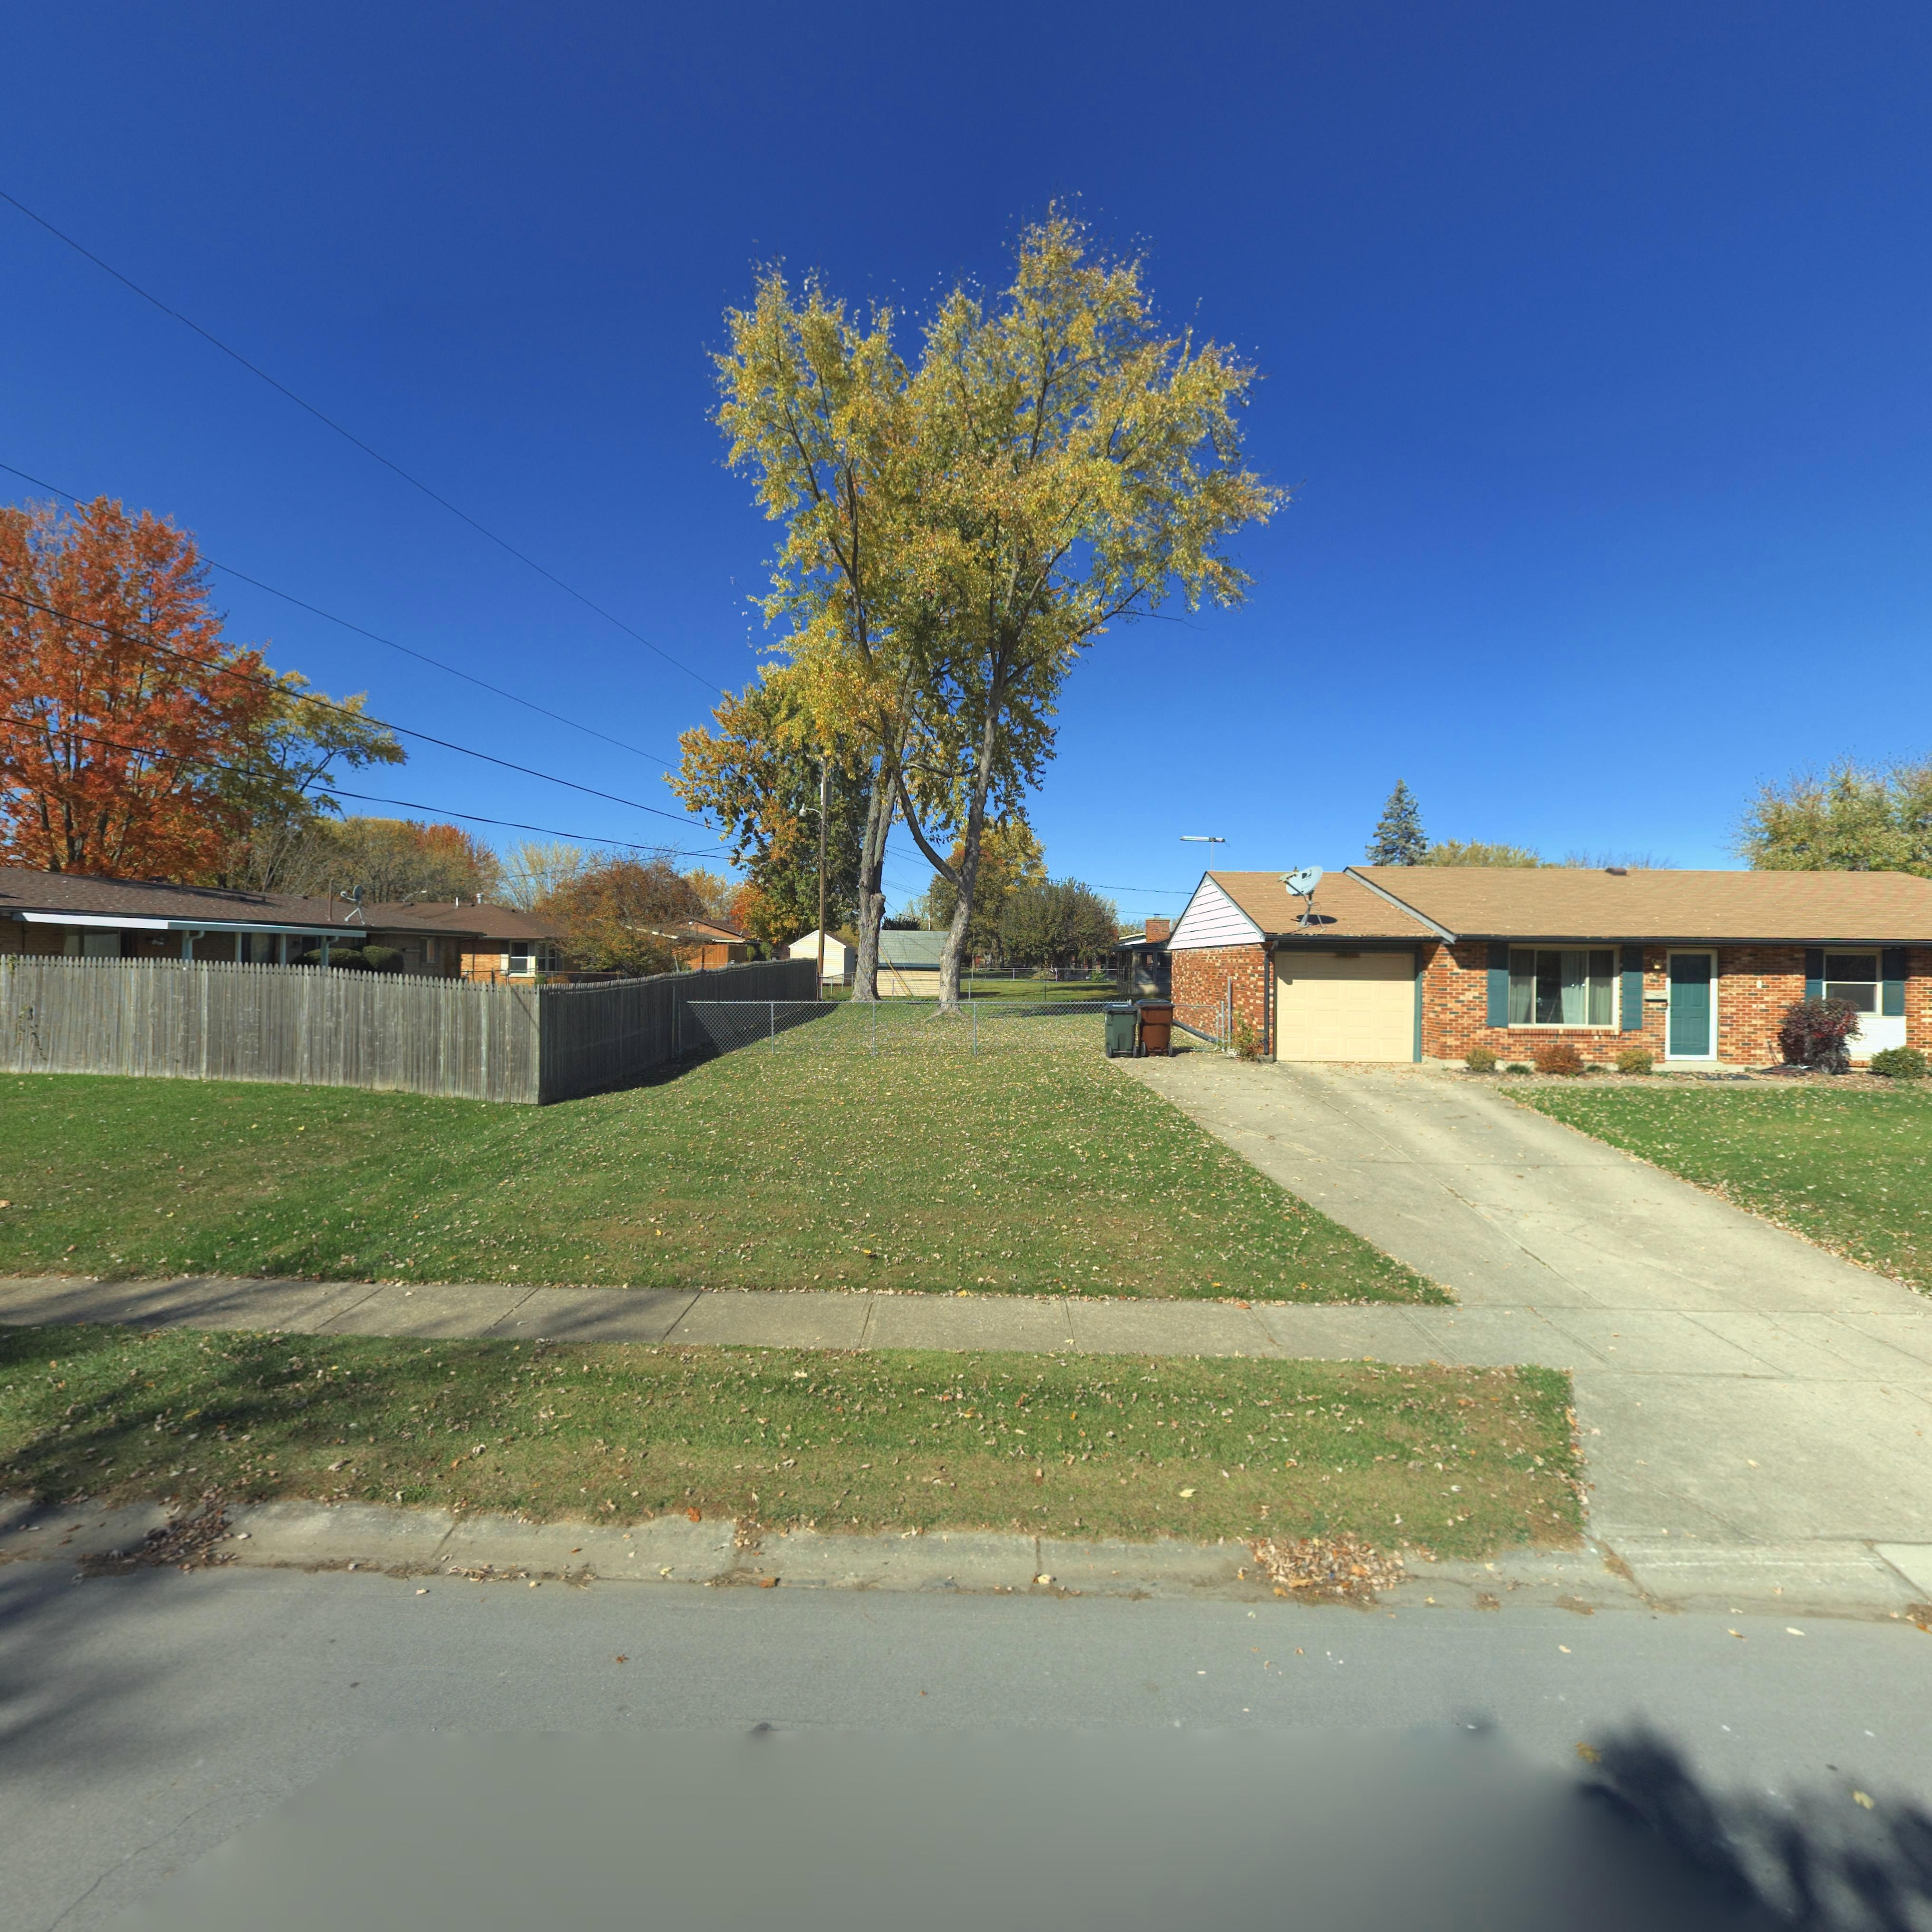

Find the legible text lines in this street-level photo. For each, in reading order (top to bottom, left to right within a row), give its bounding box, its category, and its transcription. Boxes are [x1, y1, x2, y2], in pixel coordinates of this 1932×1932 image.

[1644, 974, 1657, 980] StreetNumber: *00